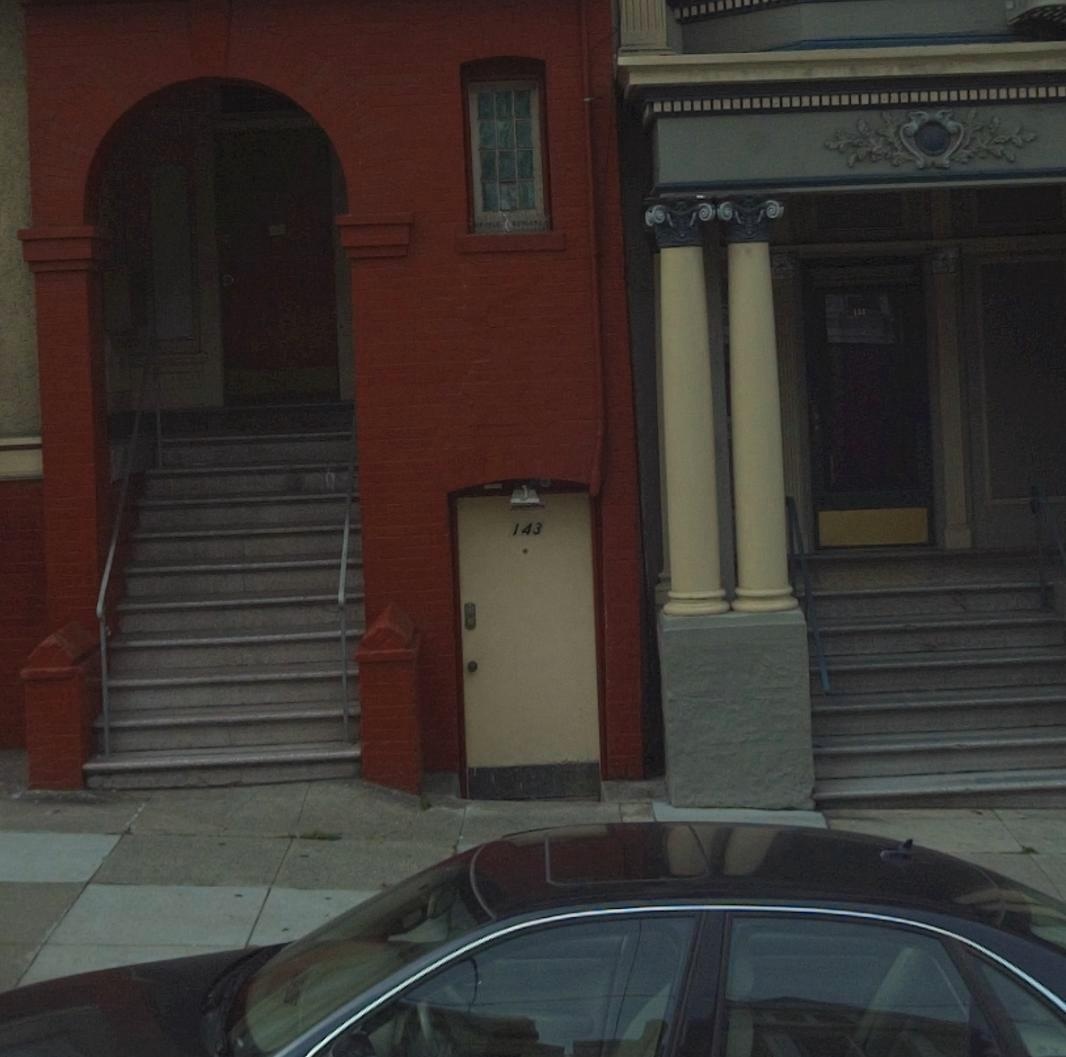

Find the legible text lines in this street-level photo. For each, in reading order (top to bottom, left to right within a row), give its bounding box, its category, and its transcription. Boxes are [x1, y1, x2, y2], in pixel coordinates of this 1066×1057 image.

[851, 305, 868, 319] StreetNumber: 1**
[510, 520, 546, 538] StreetNumber: 143